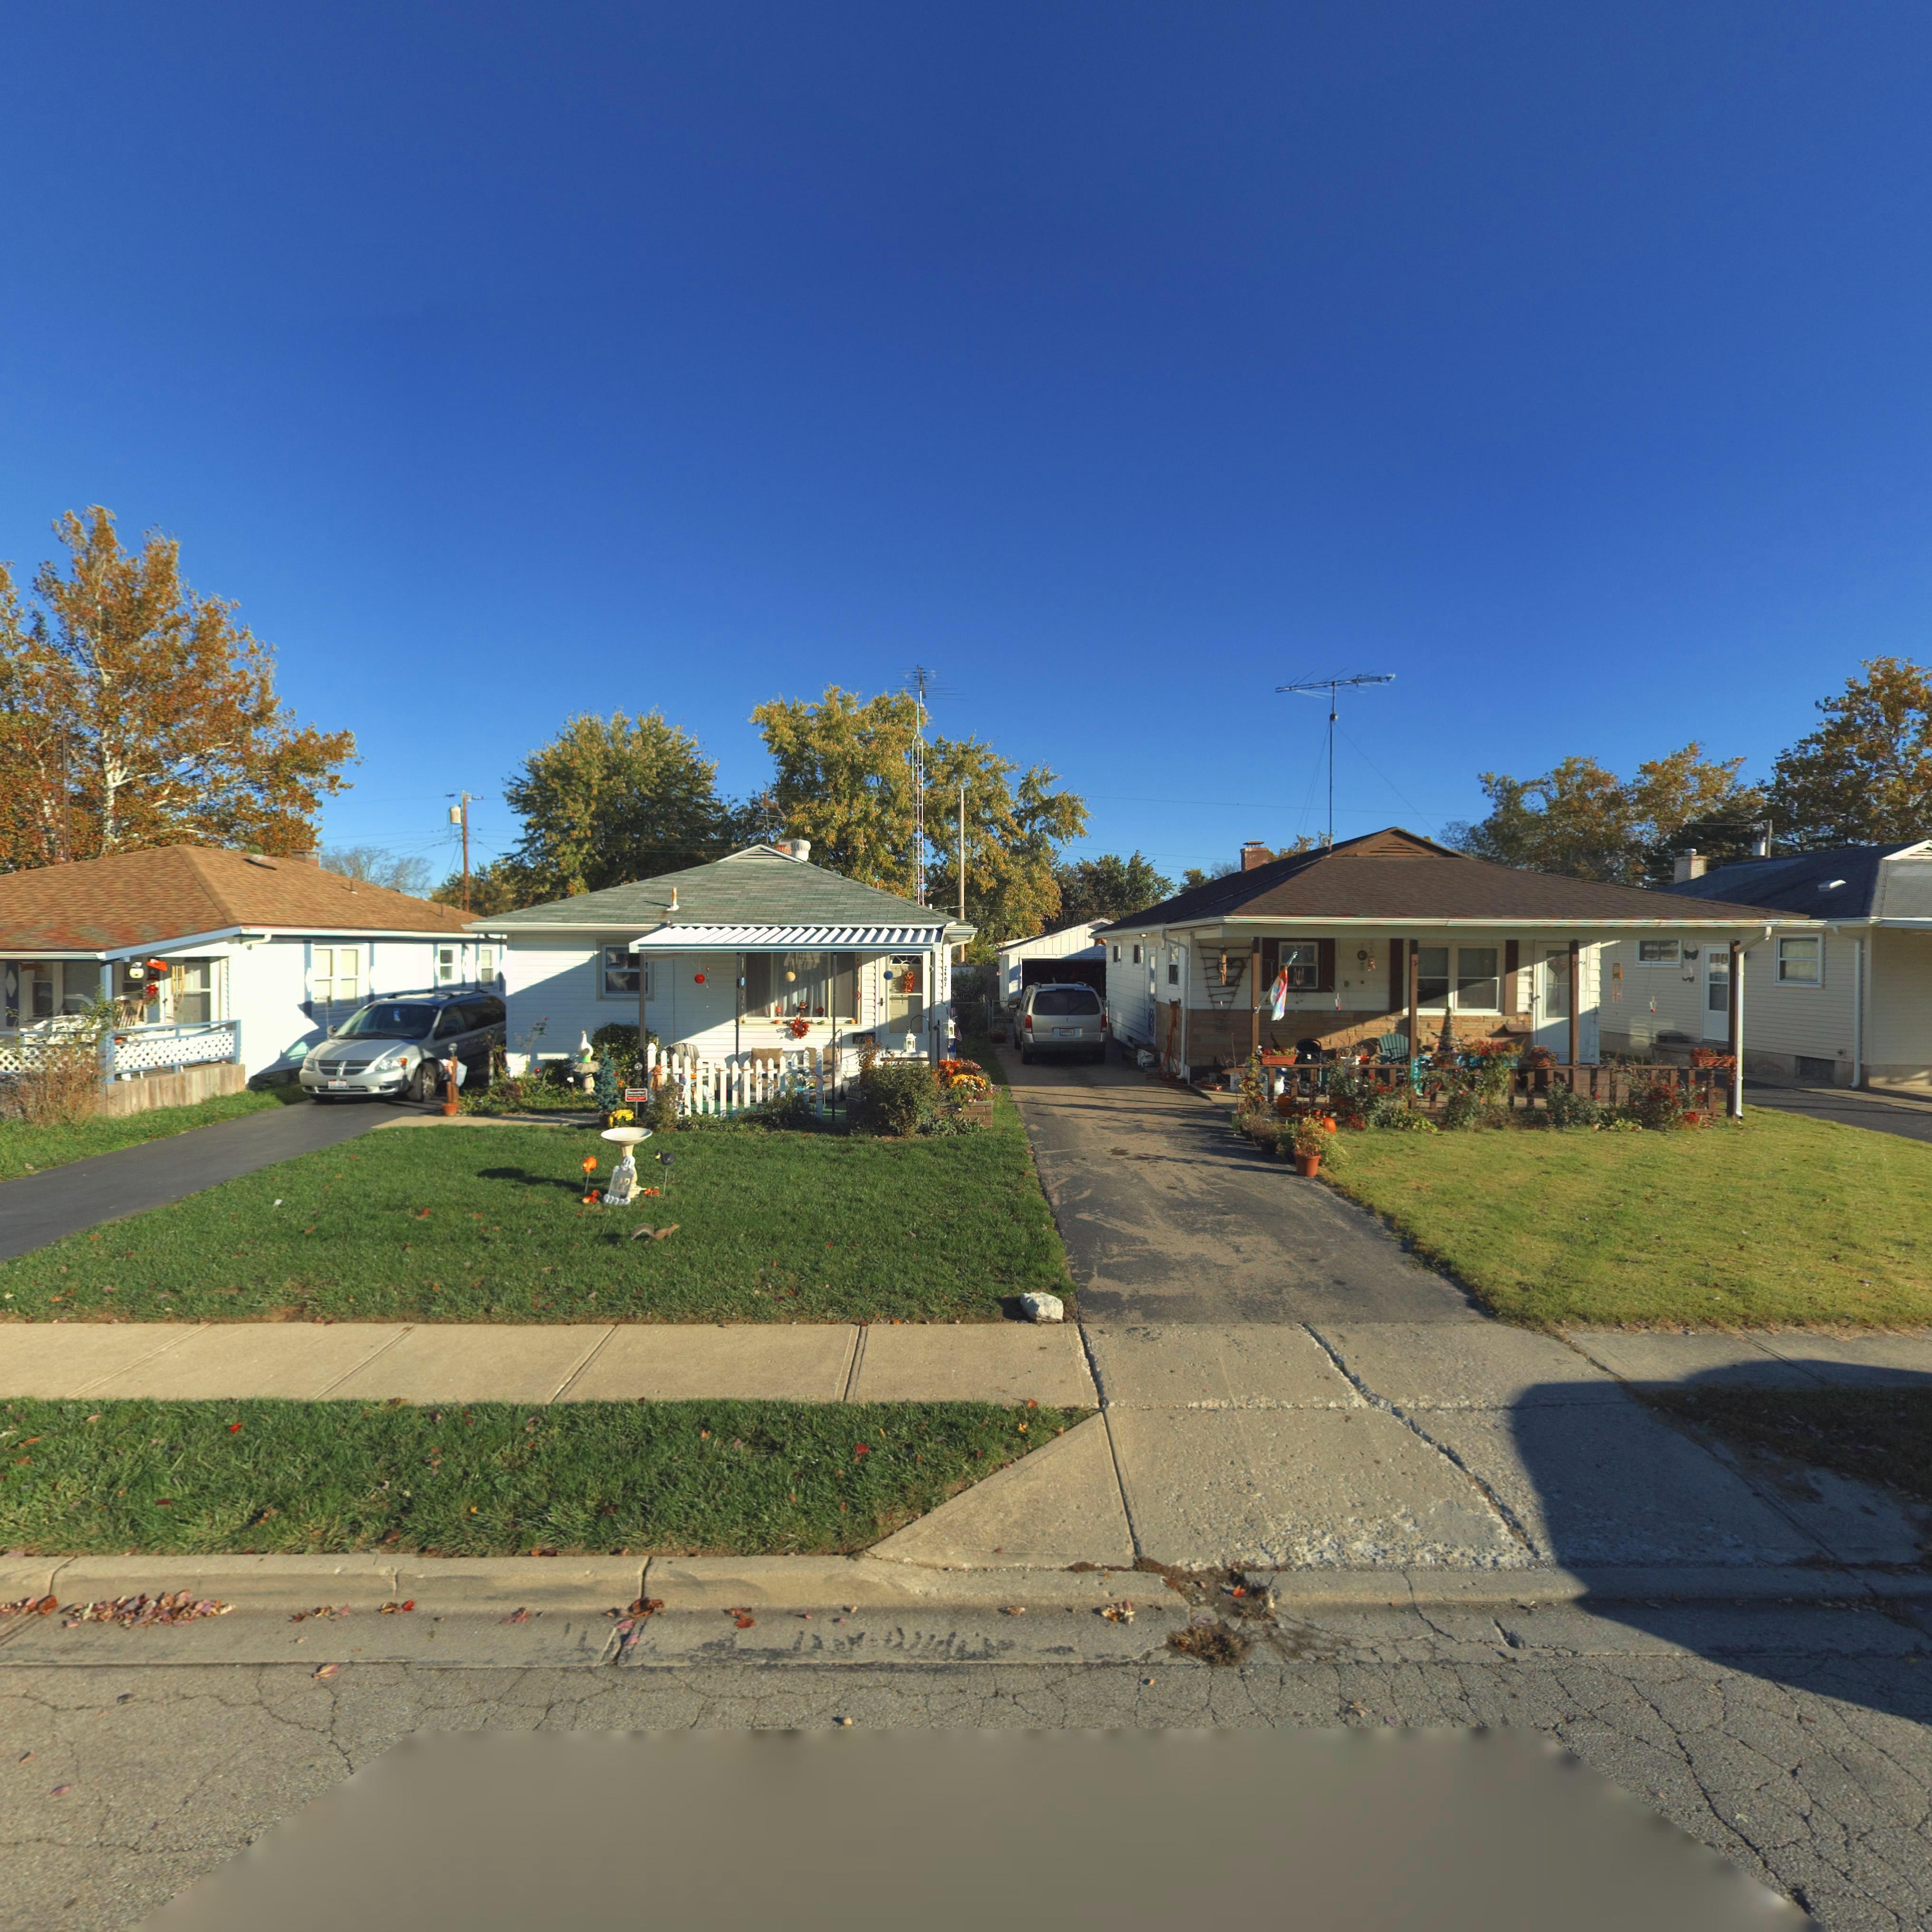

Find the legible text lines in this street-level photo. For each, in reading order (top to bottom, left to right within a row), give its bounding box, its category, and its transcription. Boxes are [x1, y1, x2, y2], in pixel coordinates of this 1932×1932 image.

[943, 965, 947, 987] StreetNumber: 2407
[1413, 1059, 1419, 1089] StreetNumber: 2399